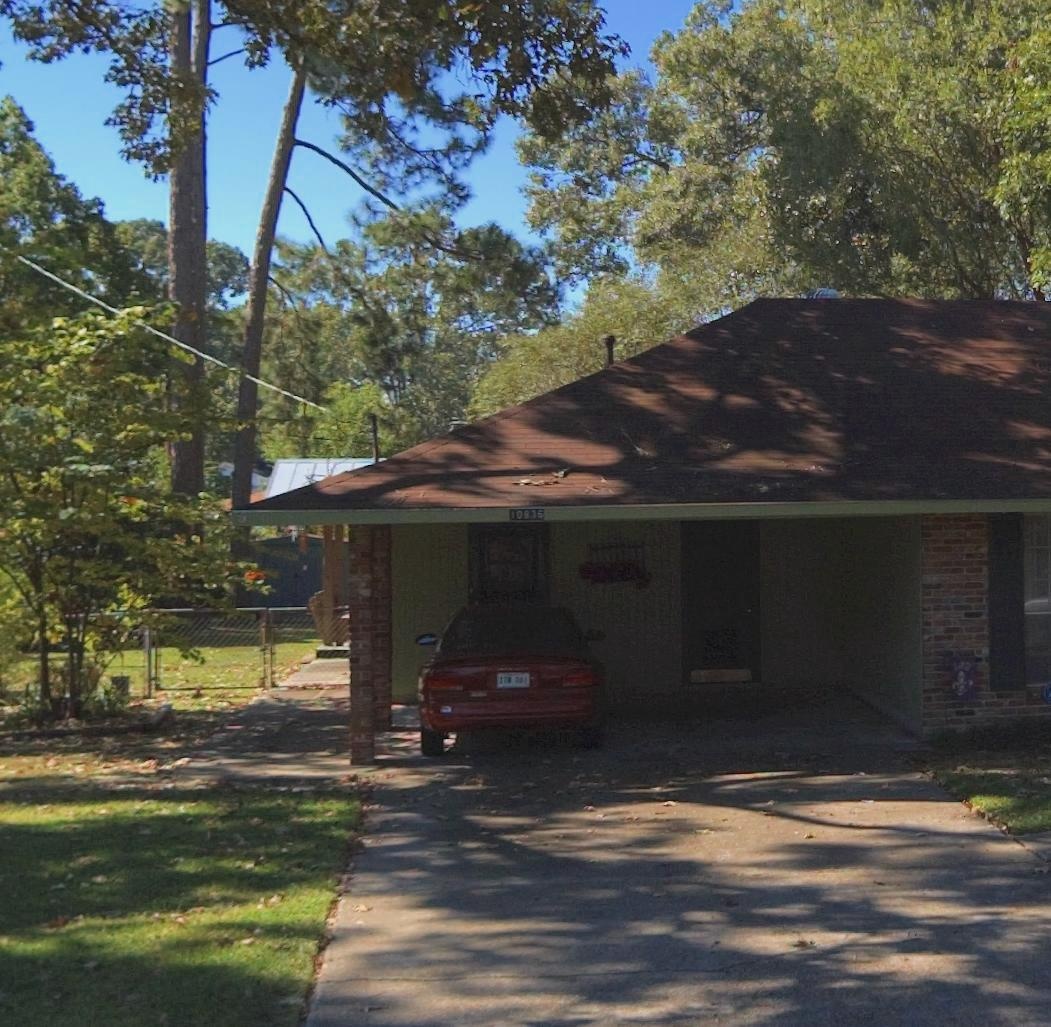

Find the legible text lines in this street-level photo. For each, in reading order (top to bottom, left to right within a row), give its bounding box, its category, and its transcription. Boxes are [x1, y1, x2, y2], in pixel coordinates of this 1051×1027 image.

[509, 508, 545, 521] StreetNumber: 10836